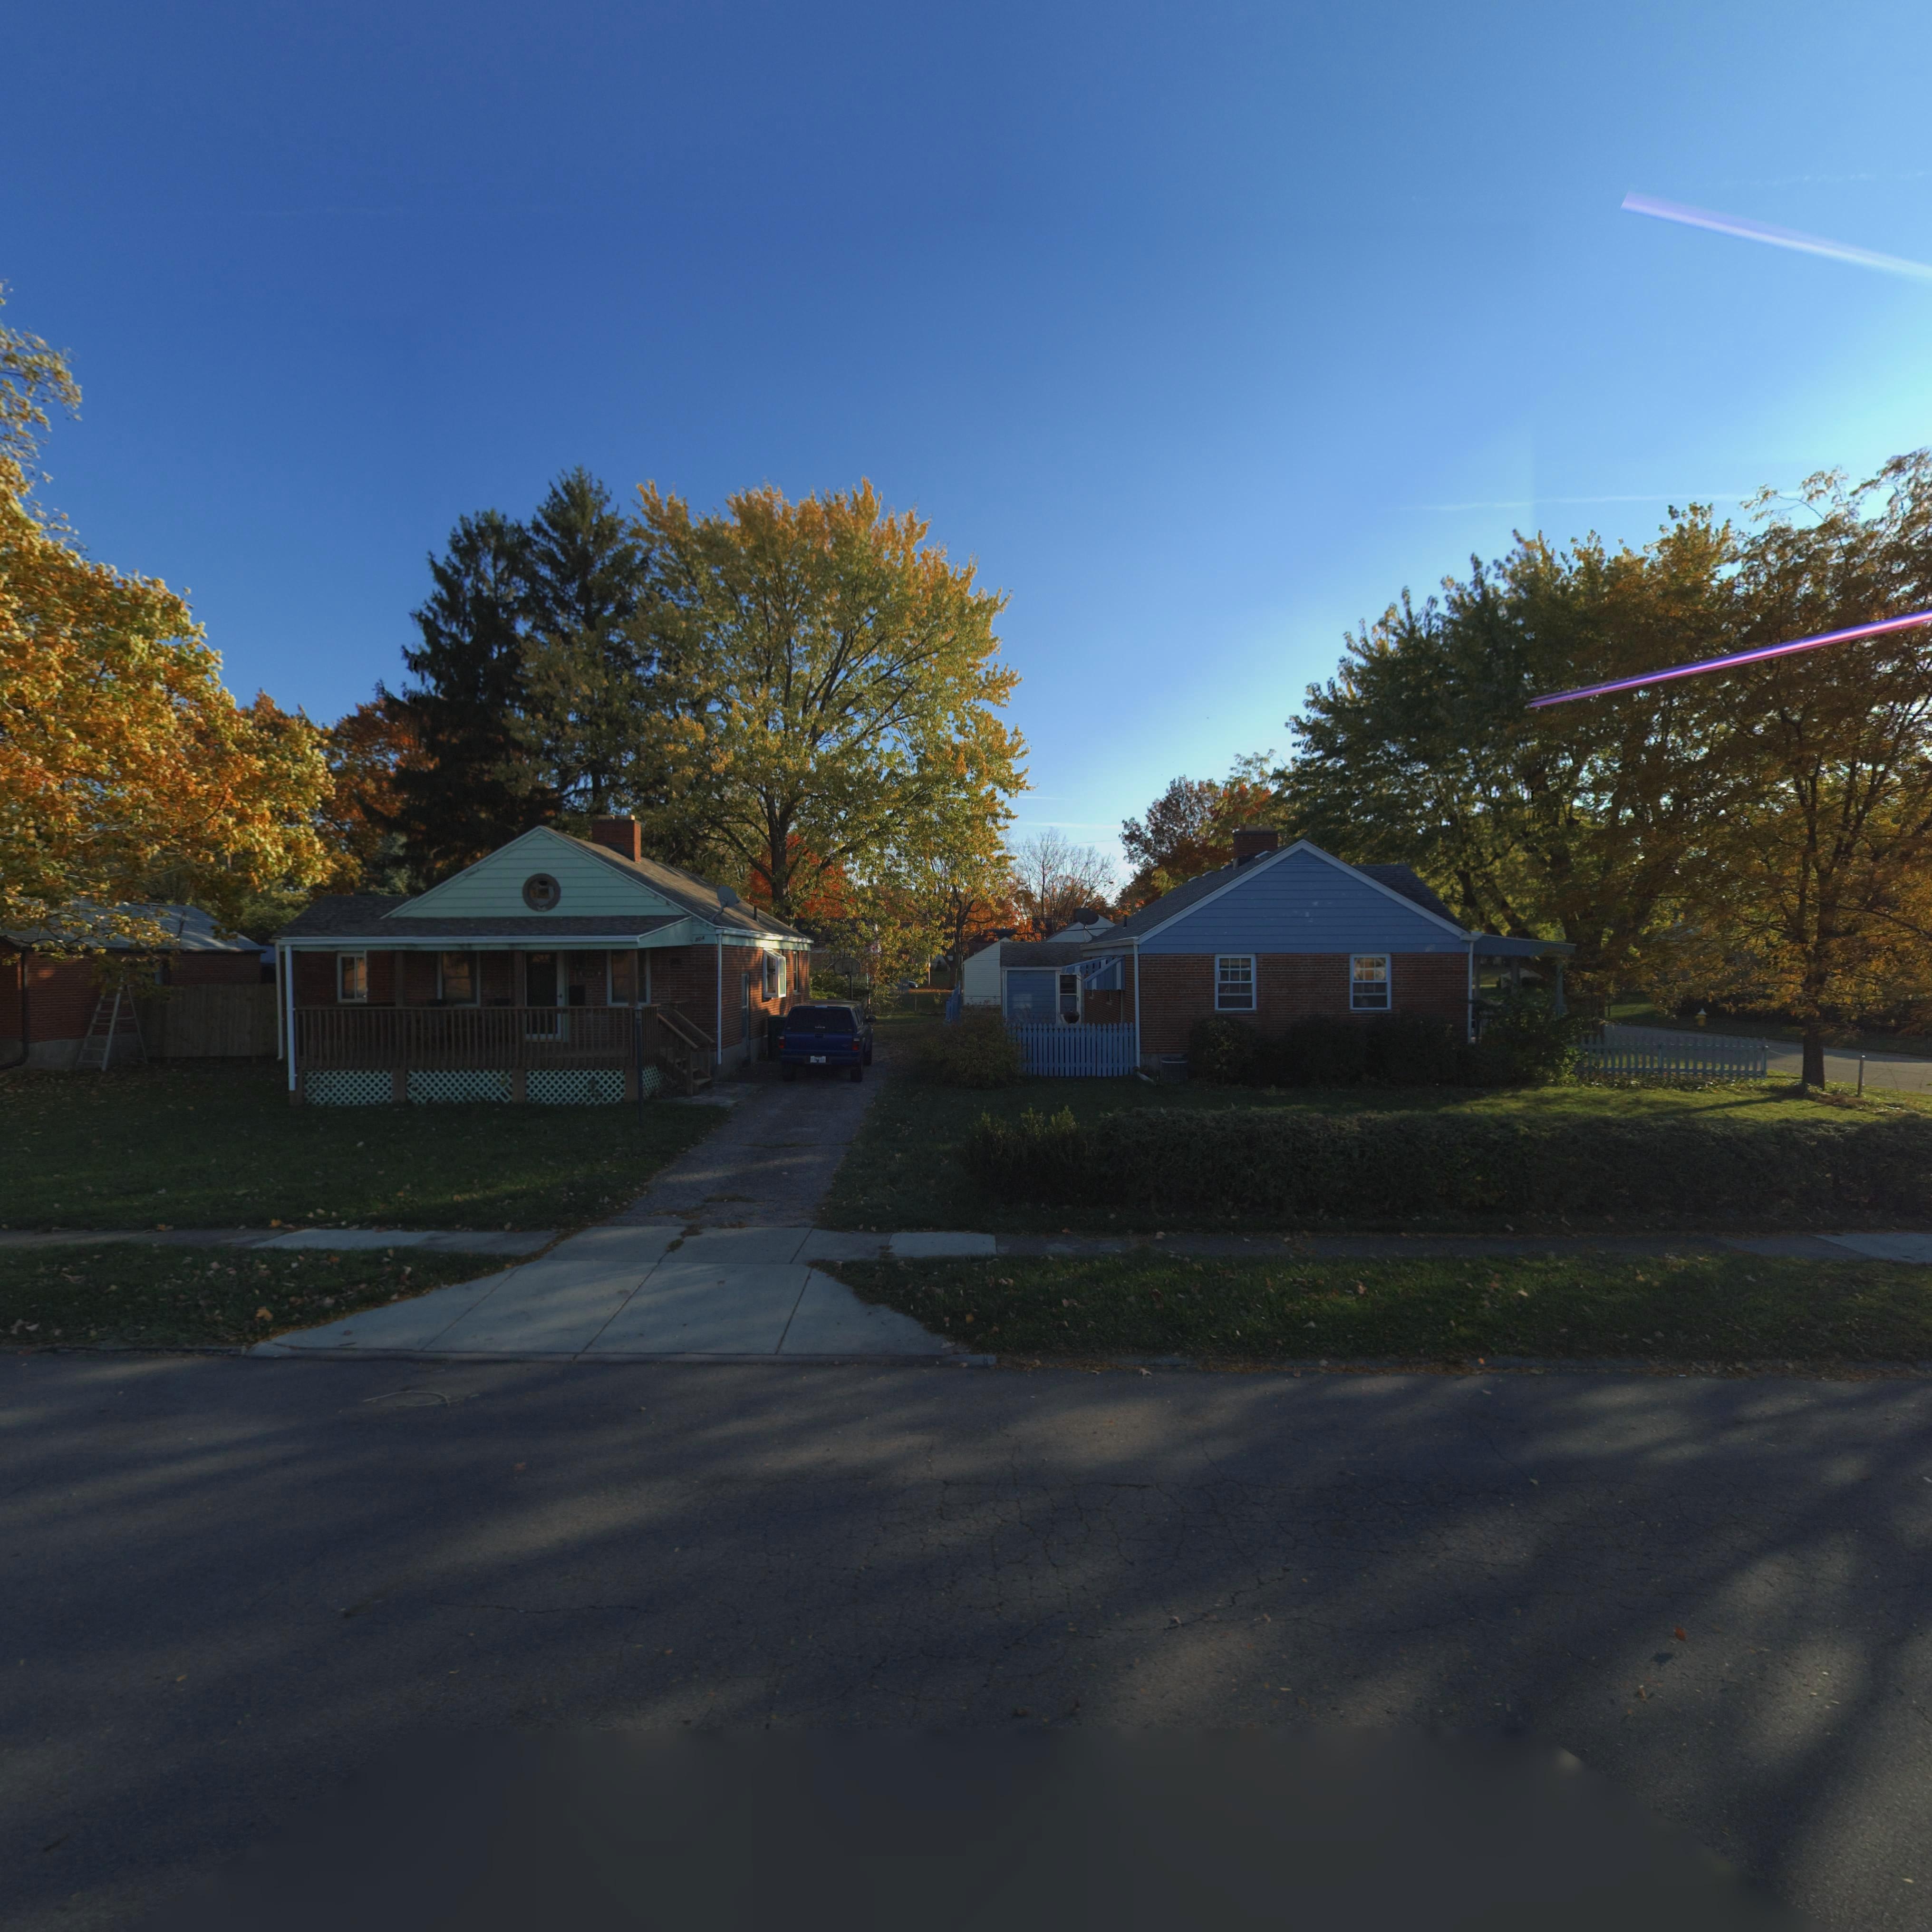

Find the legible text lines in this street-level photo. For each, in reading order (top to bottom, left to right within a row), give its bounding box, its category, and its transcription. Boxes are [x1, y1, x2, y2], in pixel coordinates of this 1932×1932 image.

[694, 934, 705, 943] StreetNumber: *04